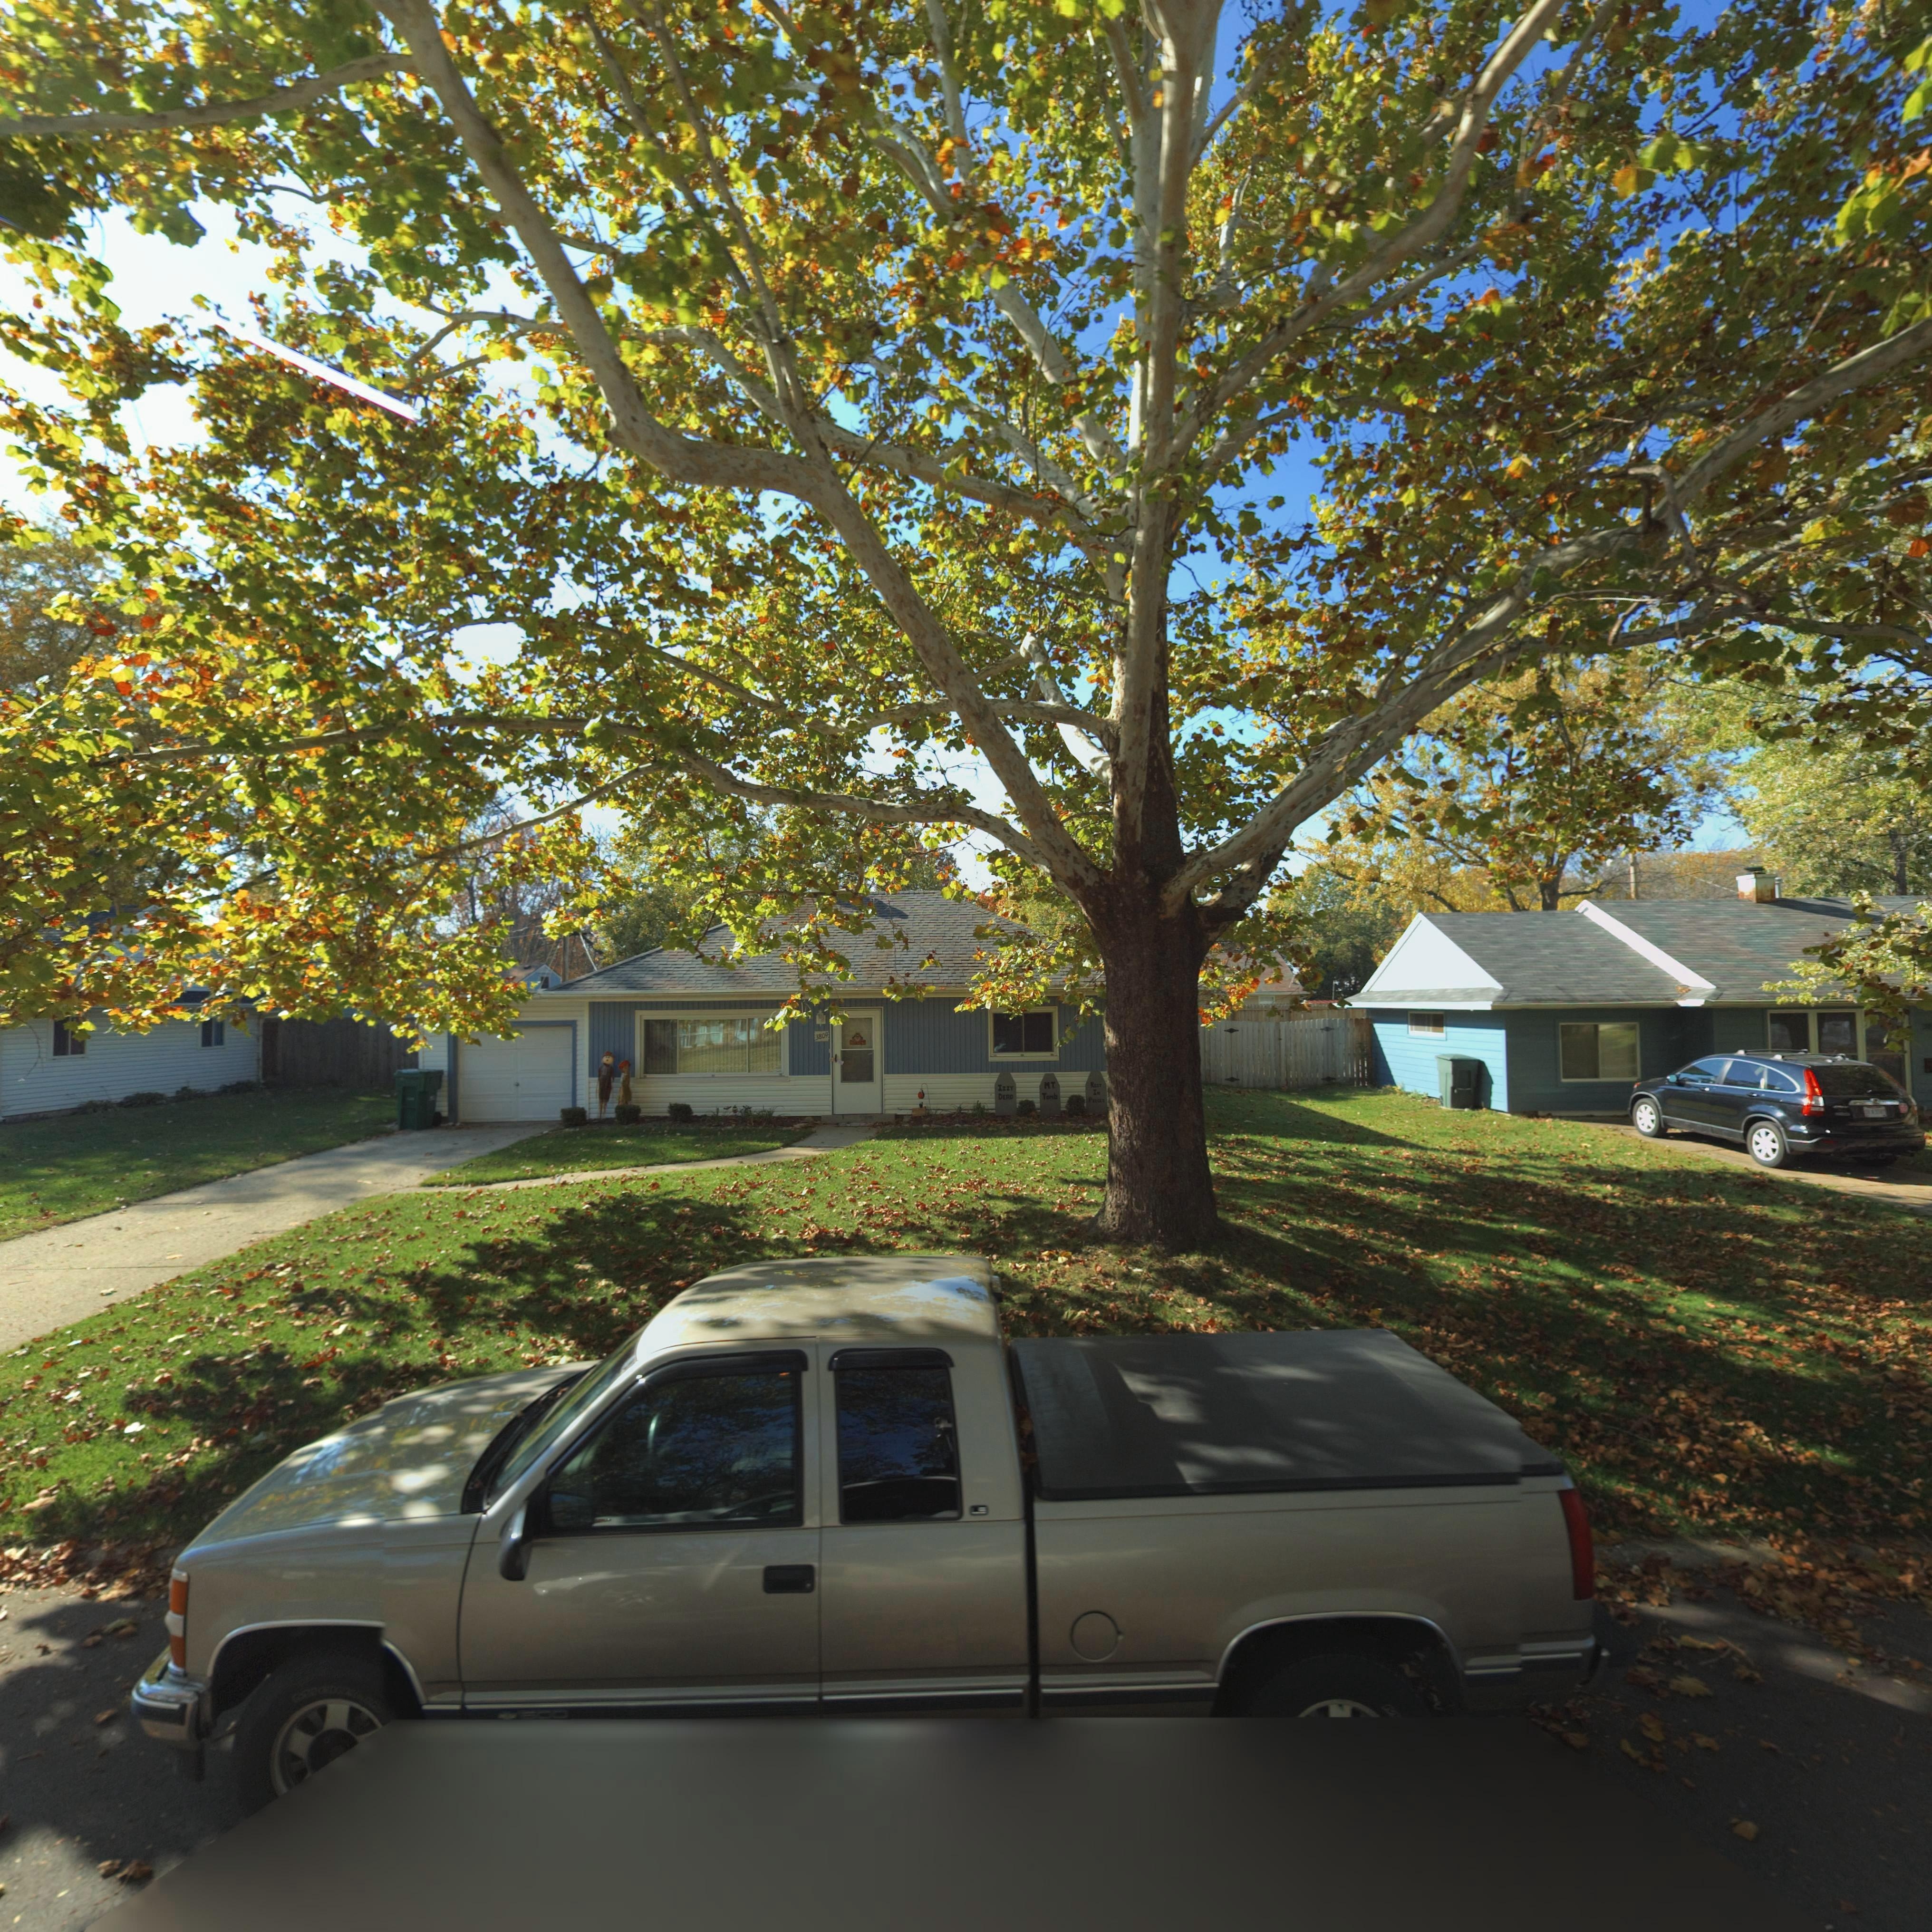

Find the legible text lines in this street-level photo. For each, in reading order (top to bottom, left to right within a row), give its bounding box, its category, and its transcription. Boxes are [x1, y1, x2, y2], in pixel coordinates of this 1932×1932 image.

[815, 1031, 828, 1041] StreetNumber: 3809
[997, 1083, 1014, 1092] None: Izzy
[1043, 1081, 1056, 1089] None: M.T.
[1090, 1081, 1101, 1088] None: Rest
[998, 1092, 1014, 1100] None: DEAD
[1042, 1092, 1058, 1100] None: Tomb
[1088, 1096, 1105, 1104] None: Pieces
[1092, 1089, 1101, 1096] None: IN
[970, 1506, 987, 1515] None: LS
[516, 1708, 570, 1720] None: 1500